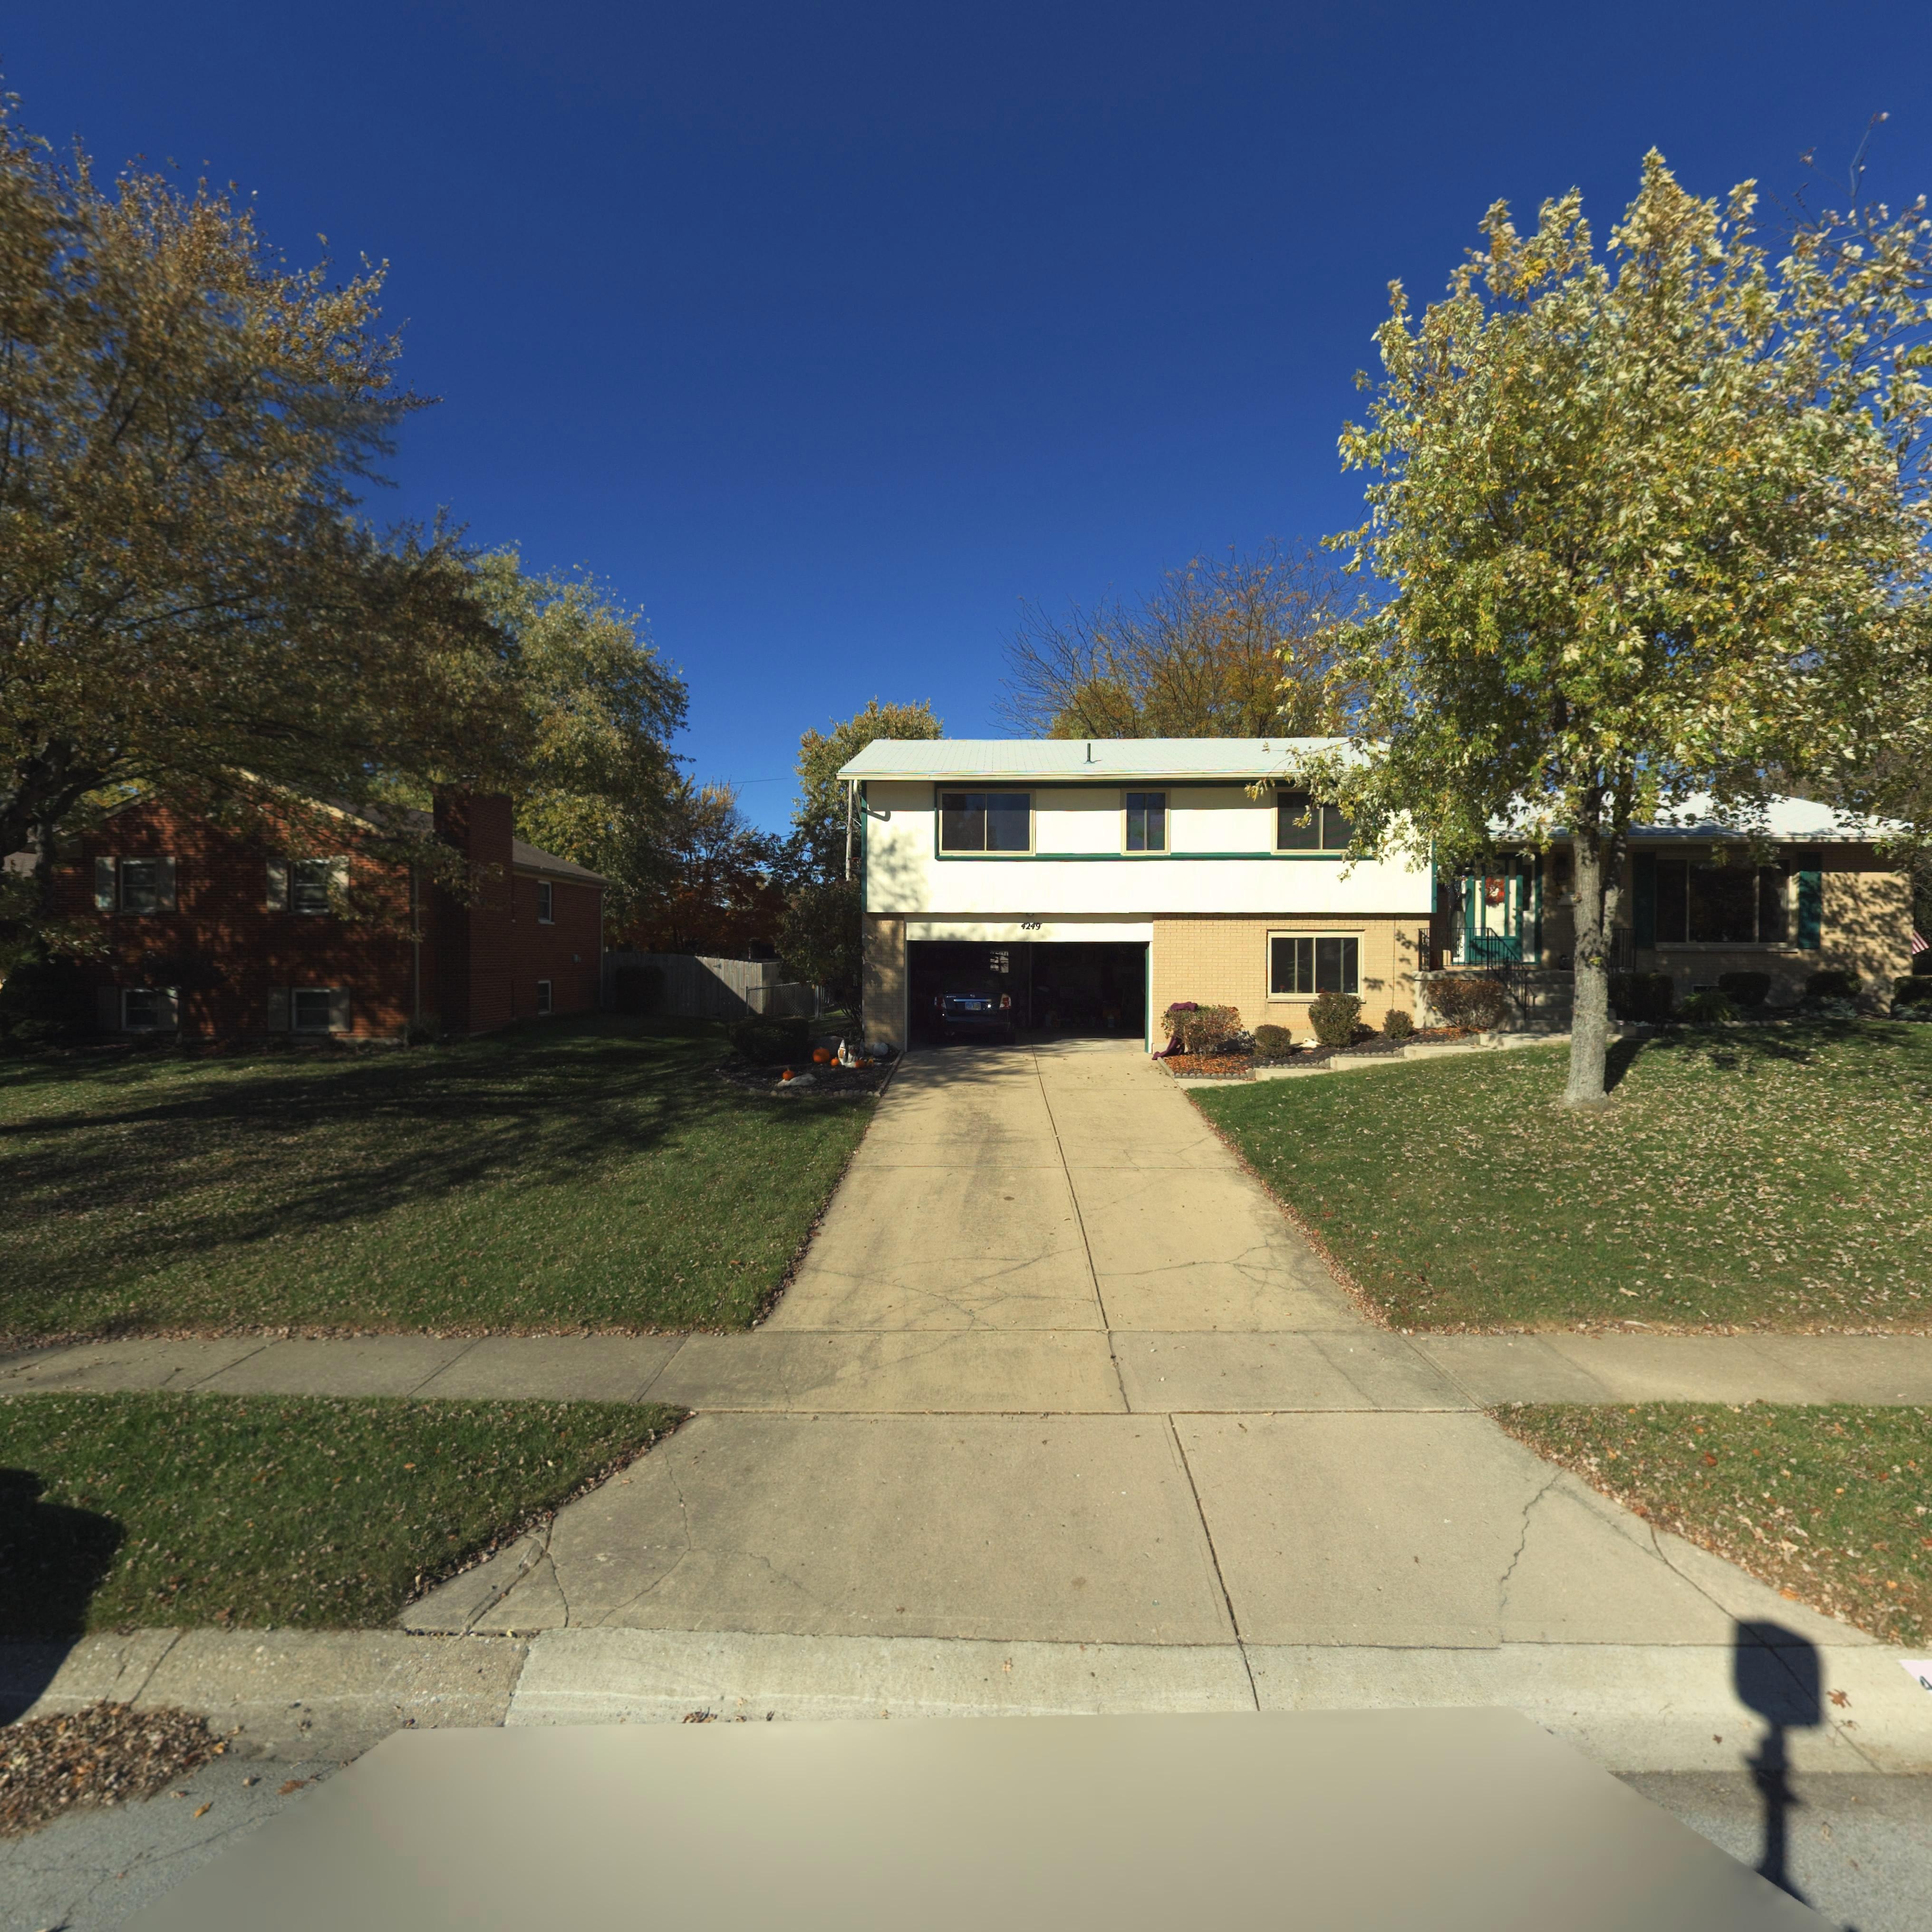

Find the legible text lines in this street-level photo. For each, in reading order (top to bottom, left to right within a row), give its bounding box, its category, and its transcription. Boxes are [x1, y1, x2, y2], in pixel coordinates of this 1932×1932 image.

[1020, 921, 1042, 931] StreetNumber: 4249